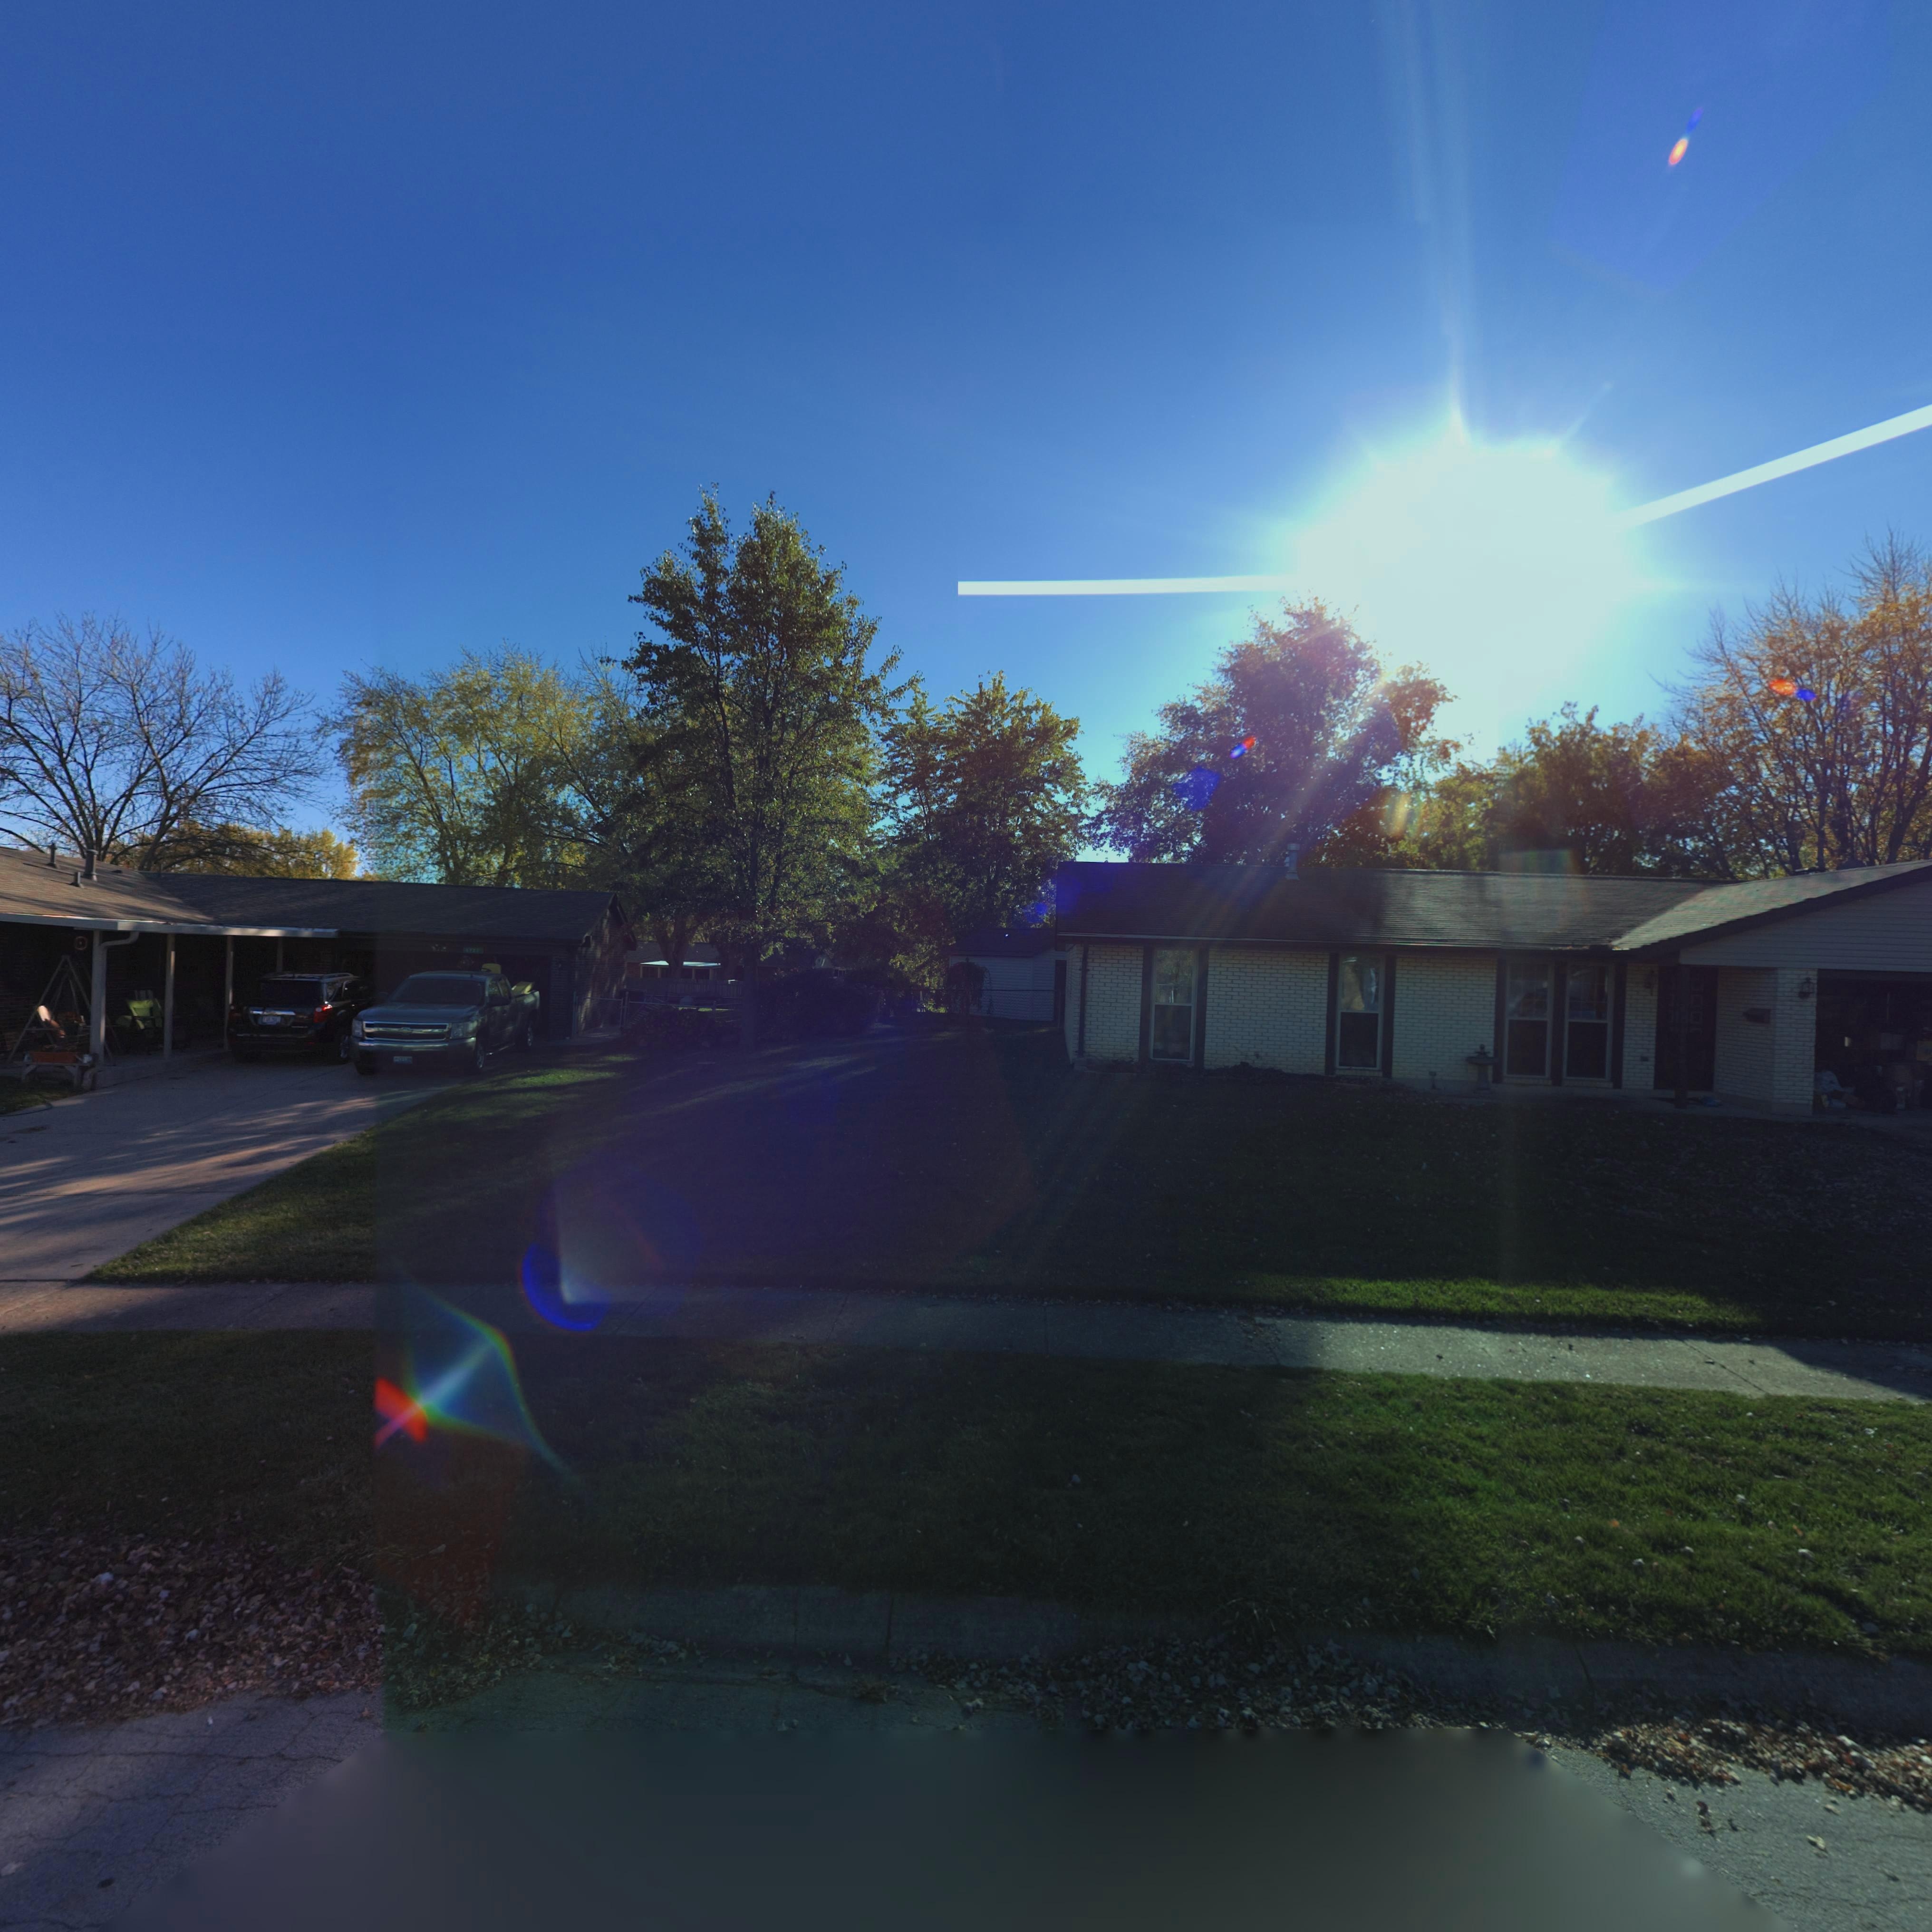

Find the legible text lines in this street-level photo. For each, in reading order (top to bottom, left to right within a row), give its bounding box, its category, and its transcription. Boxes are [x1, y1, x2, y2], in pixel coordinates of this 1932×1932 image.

[465, 948, 480, 953] StreetNumber: 6721